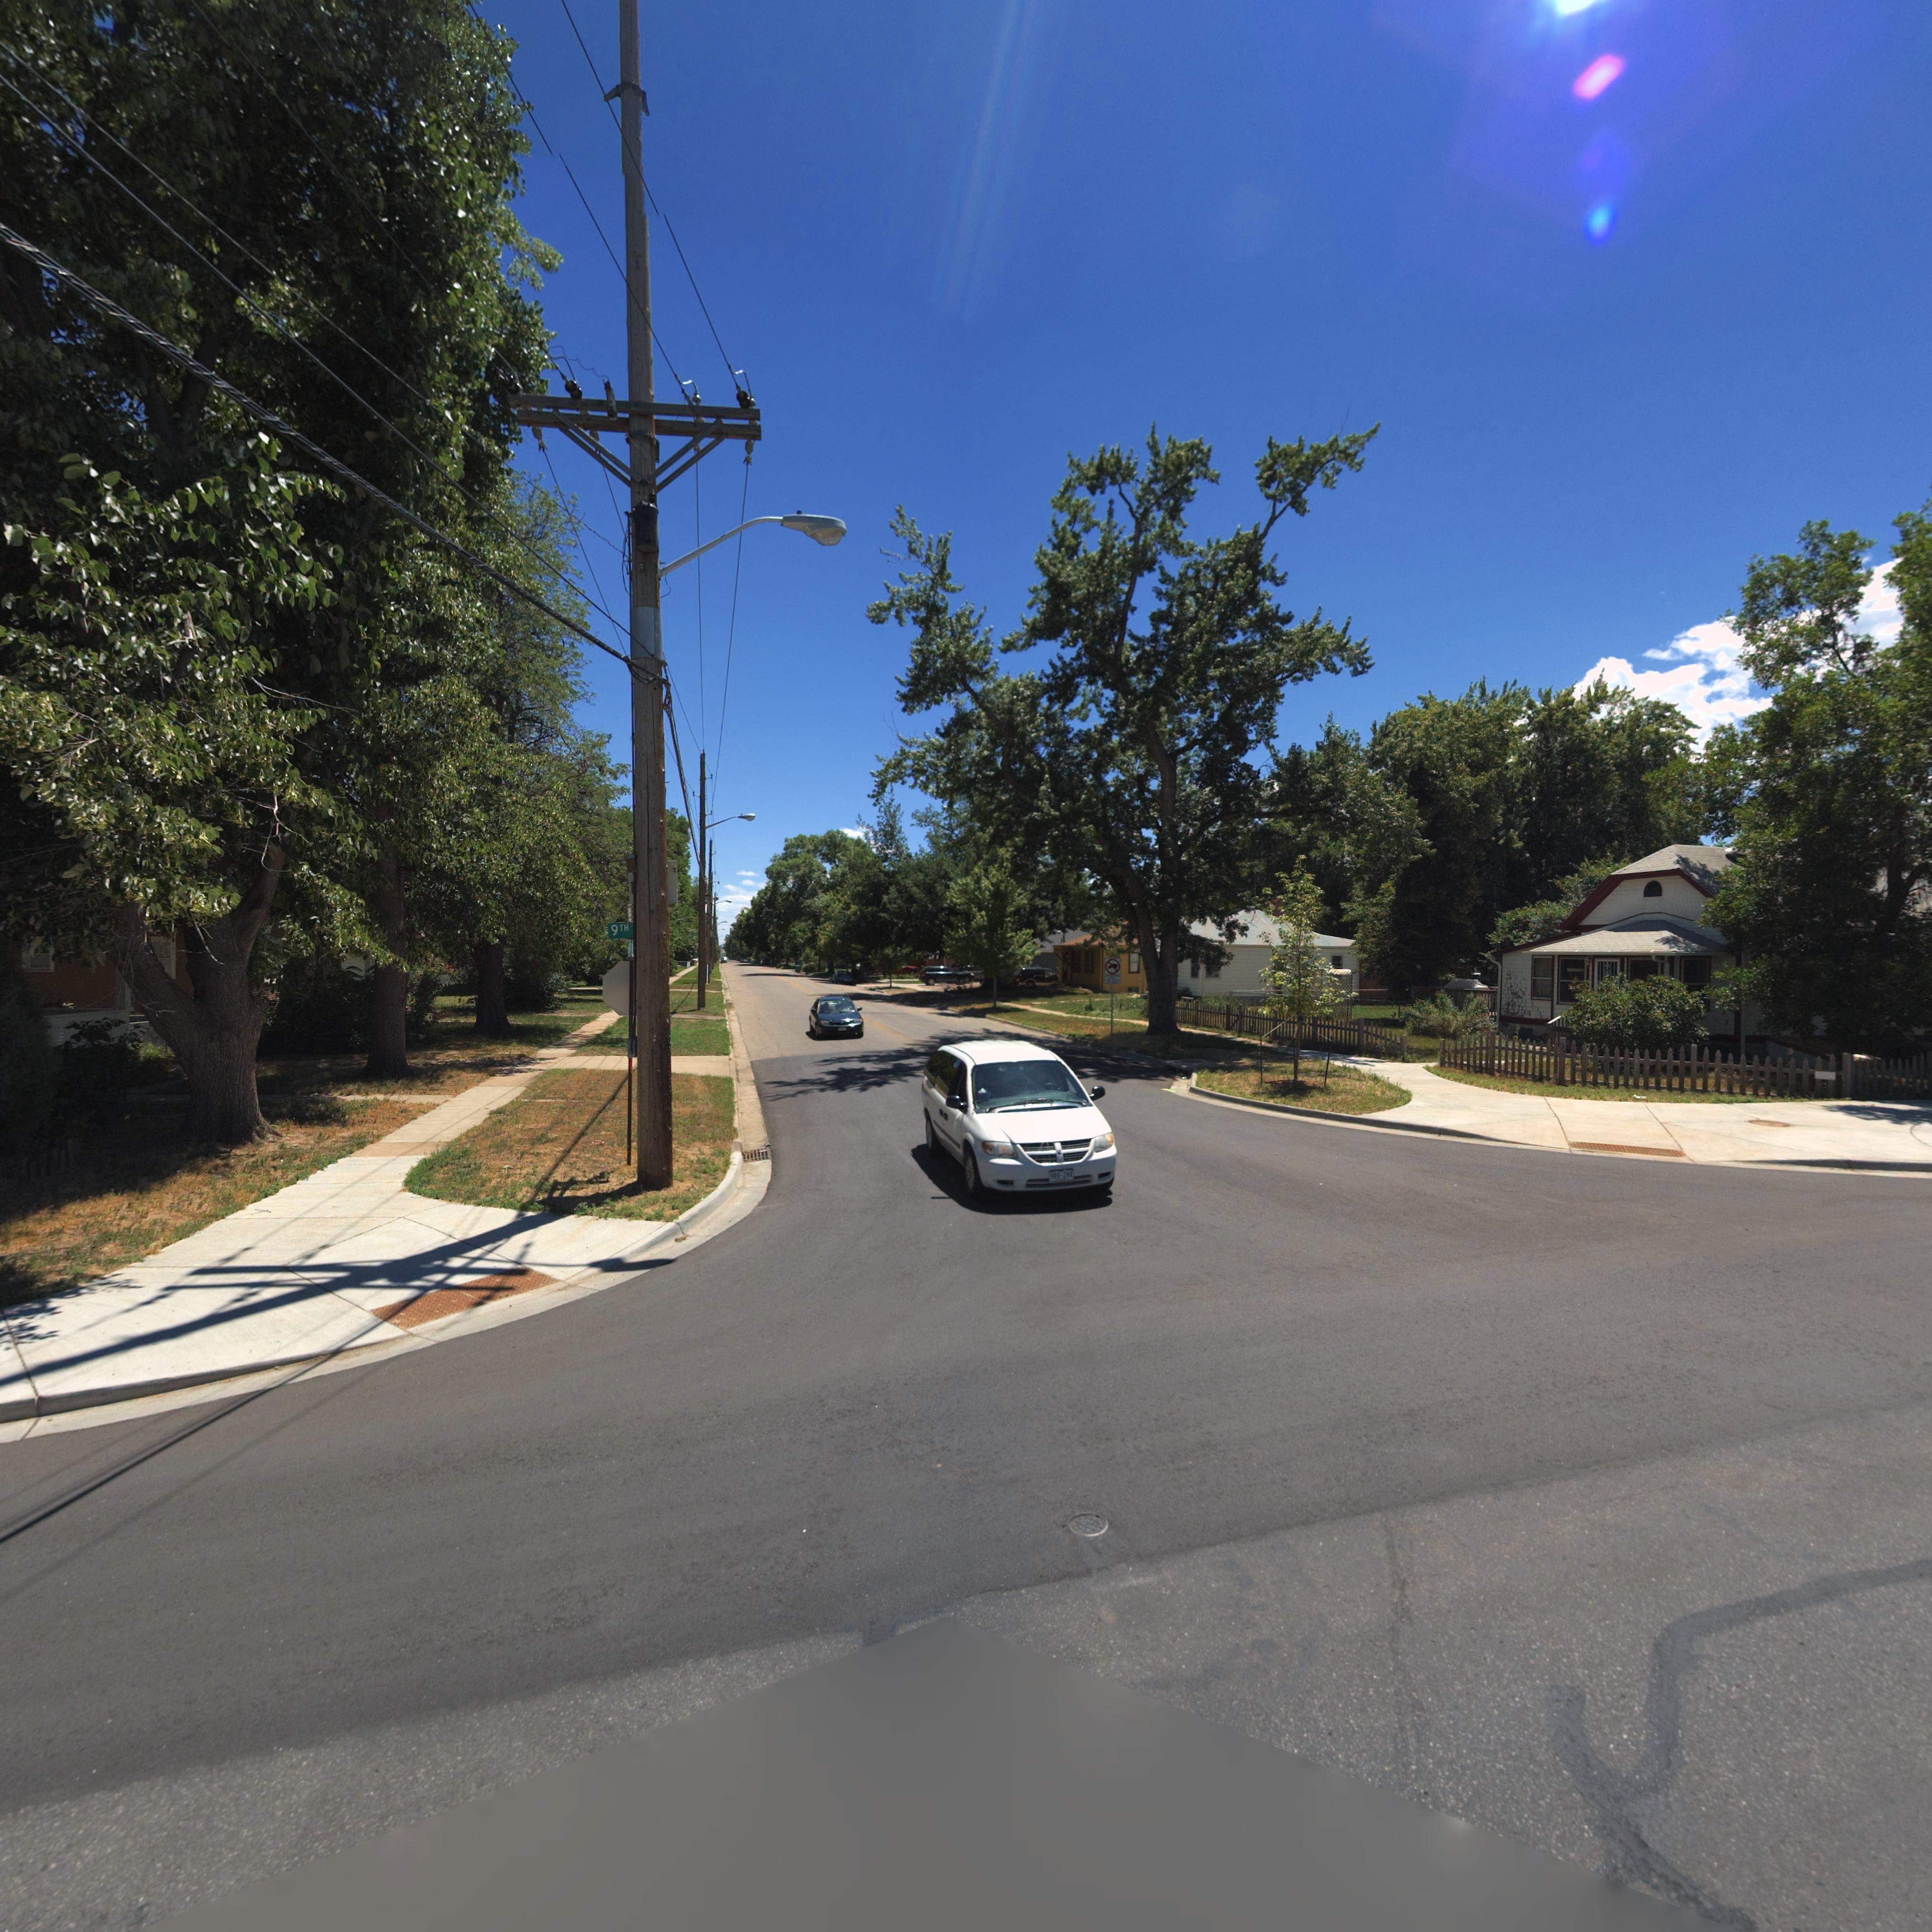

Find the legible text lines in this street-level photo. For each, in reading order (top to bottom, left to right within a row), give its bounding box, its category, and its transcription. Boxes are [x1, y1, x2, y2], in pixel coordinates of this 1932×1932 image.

[611, 924, 629, 936] StreetName: 9TH 